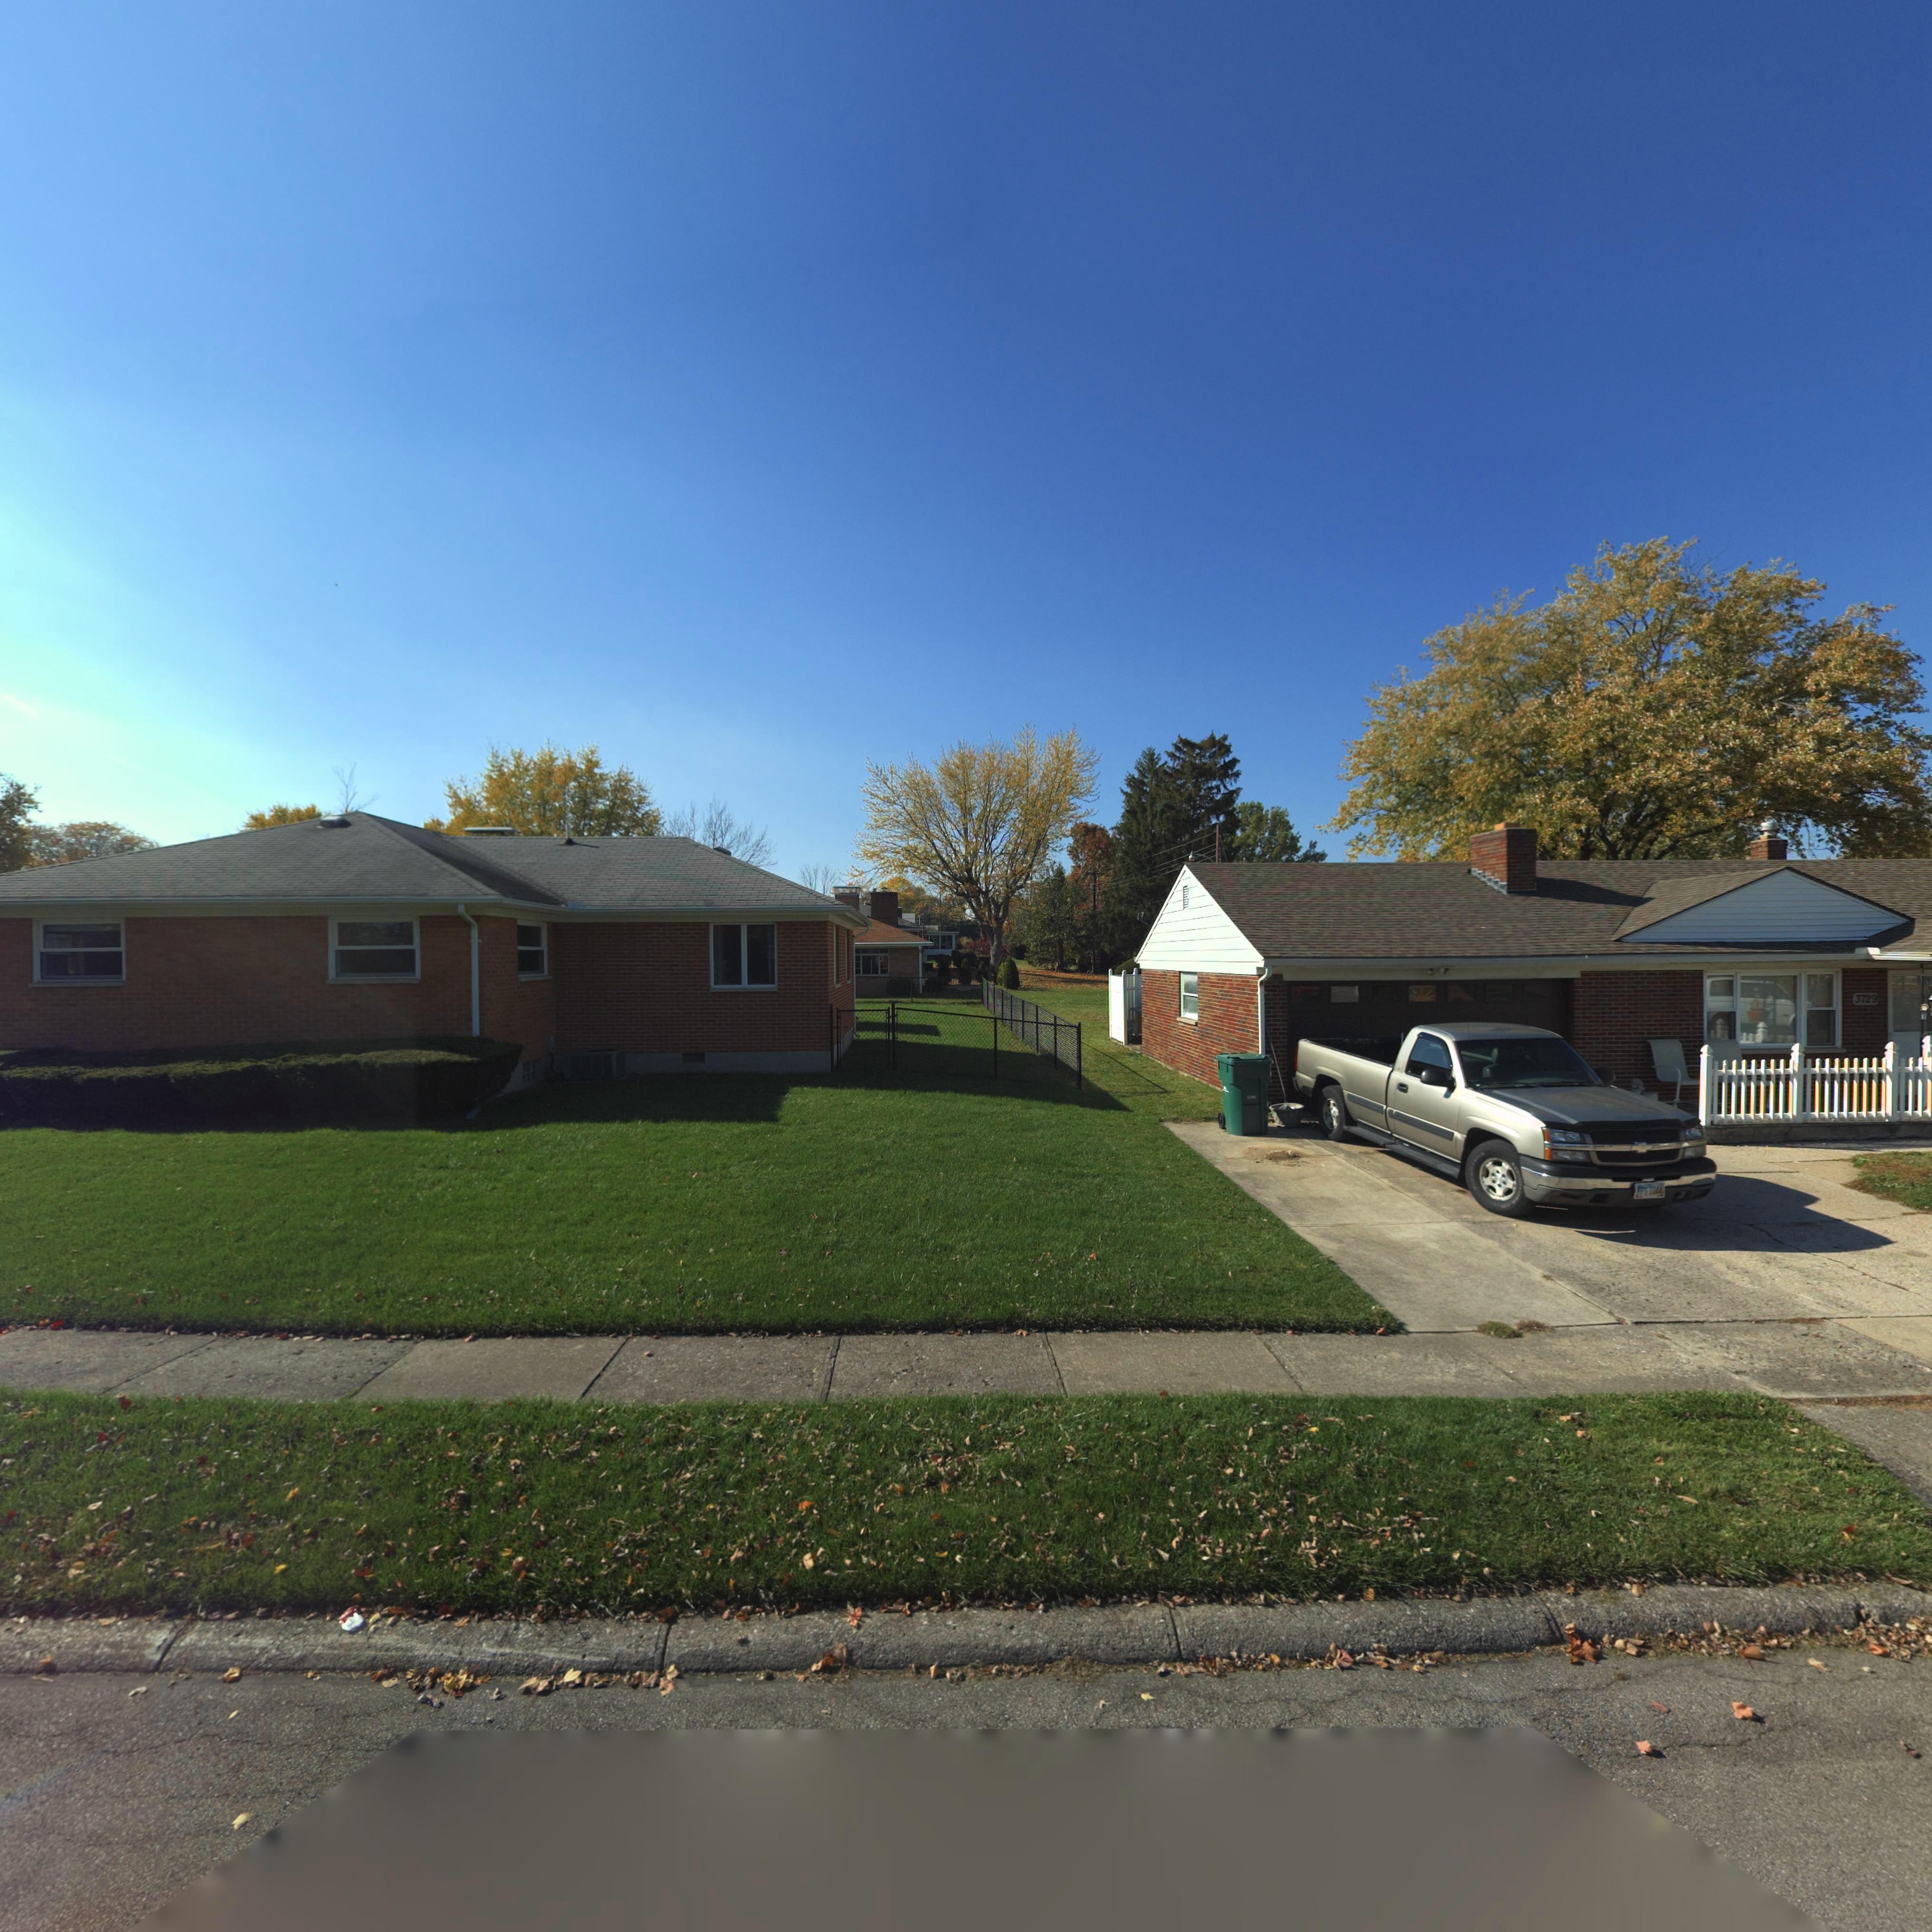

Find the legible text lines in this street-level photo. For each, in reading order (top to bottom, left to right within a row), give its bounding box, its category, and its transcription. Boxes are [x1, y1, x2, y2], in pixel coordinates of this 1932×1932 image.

[1854, 994, 1877, 1004] StreetNumber: 3729
[1637, 1186, 1663, 1196] None: FFS 1044